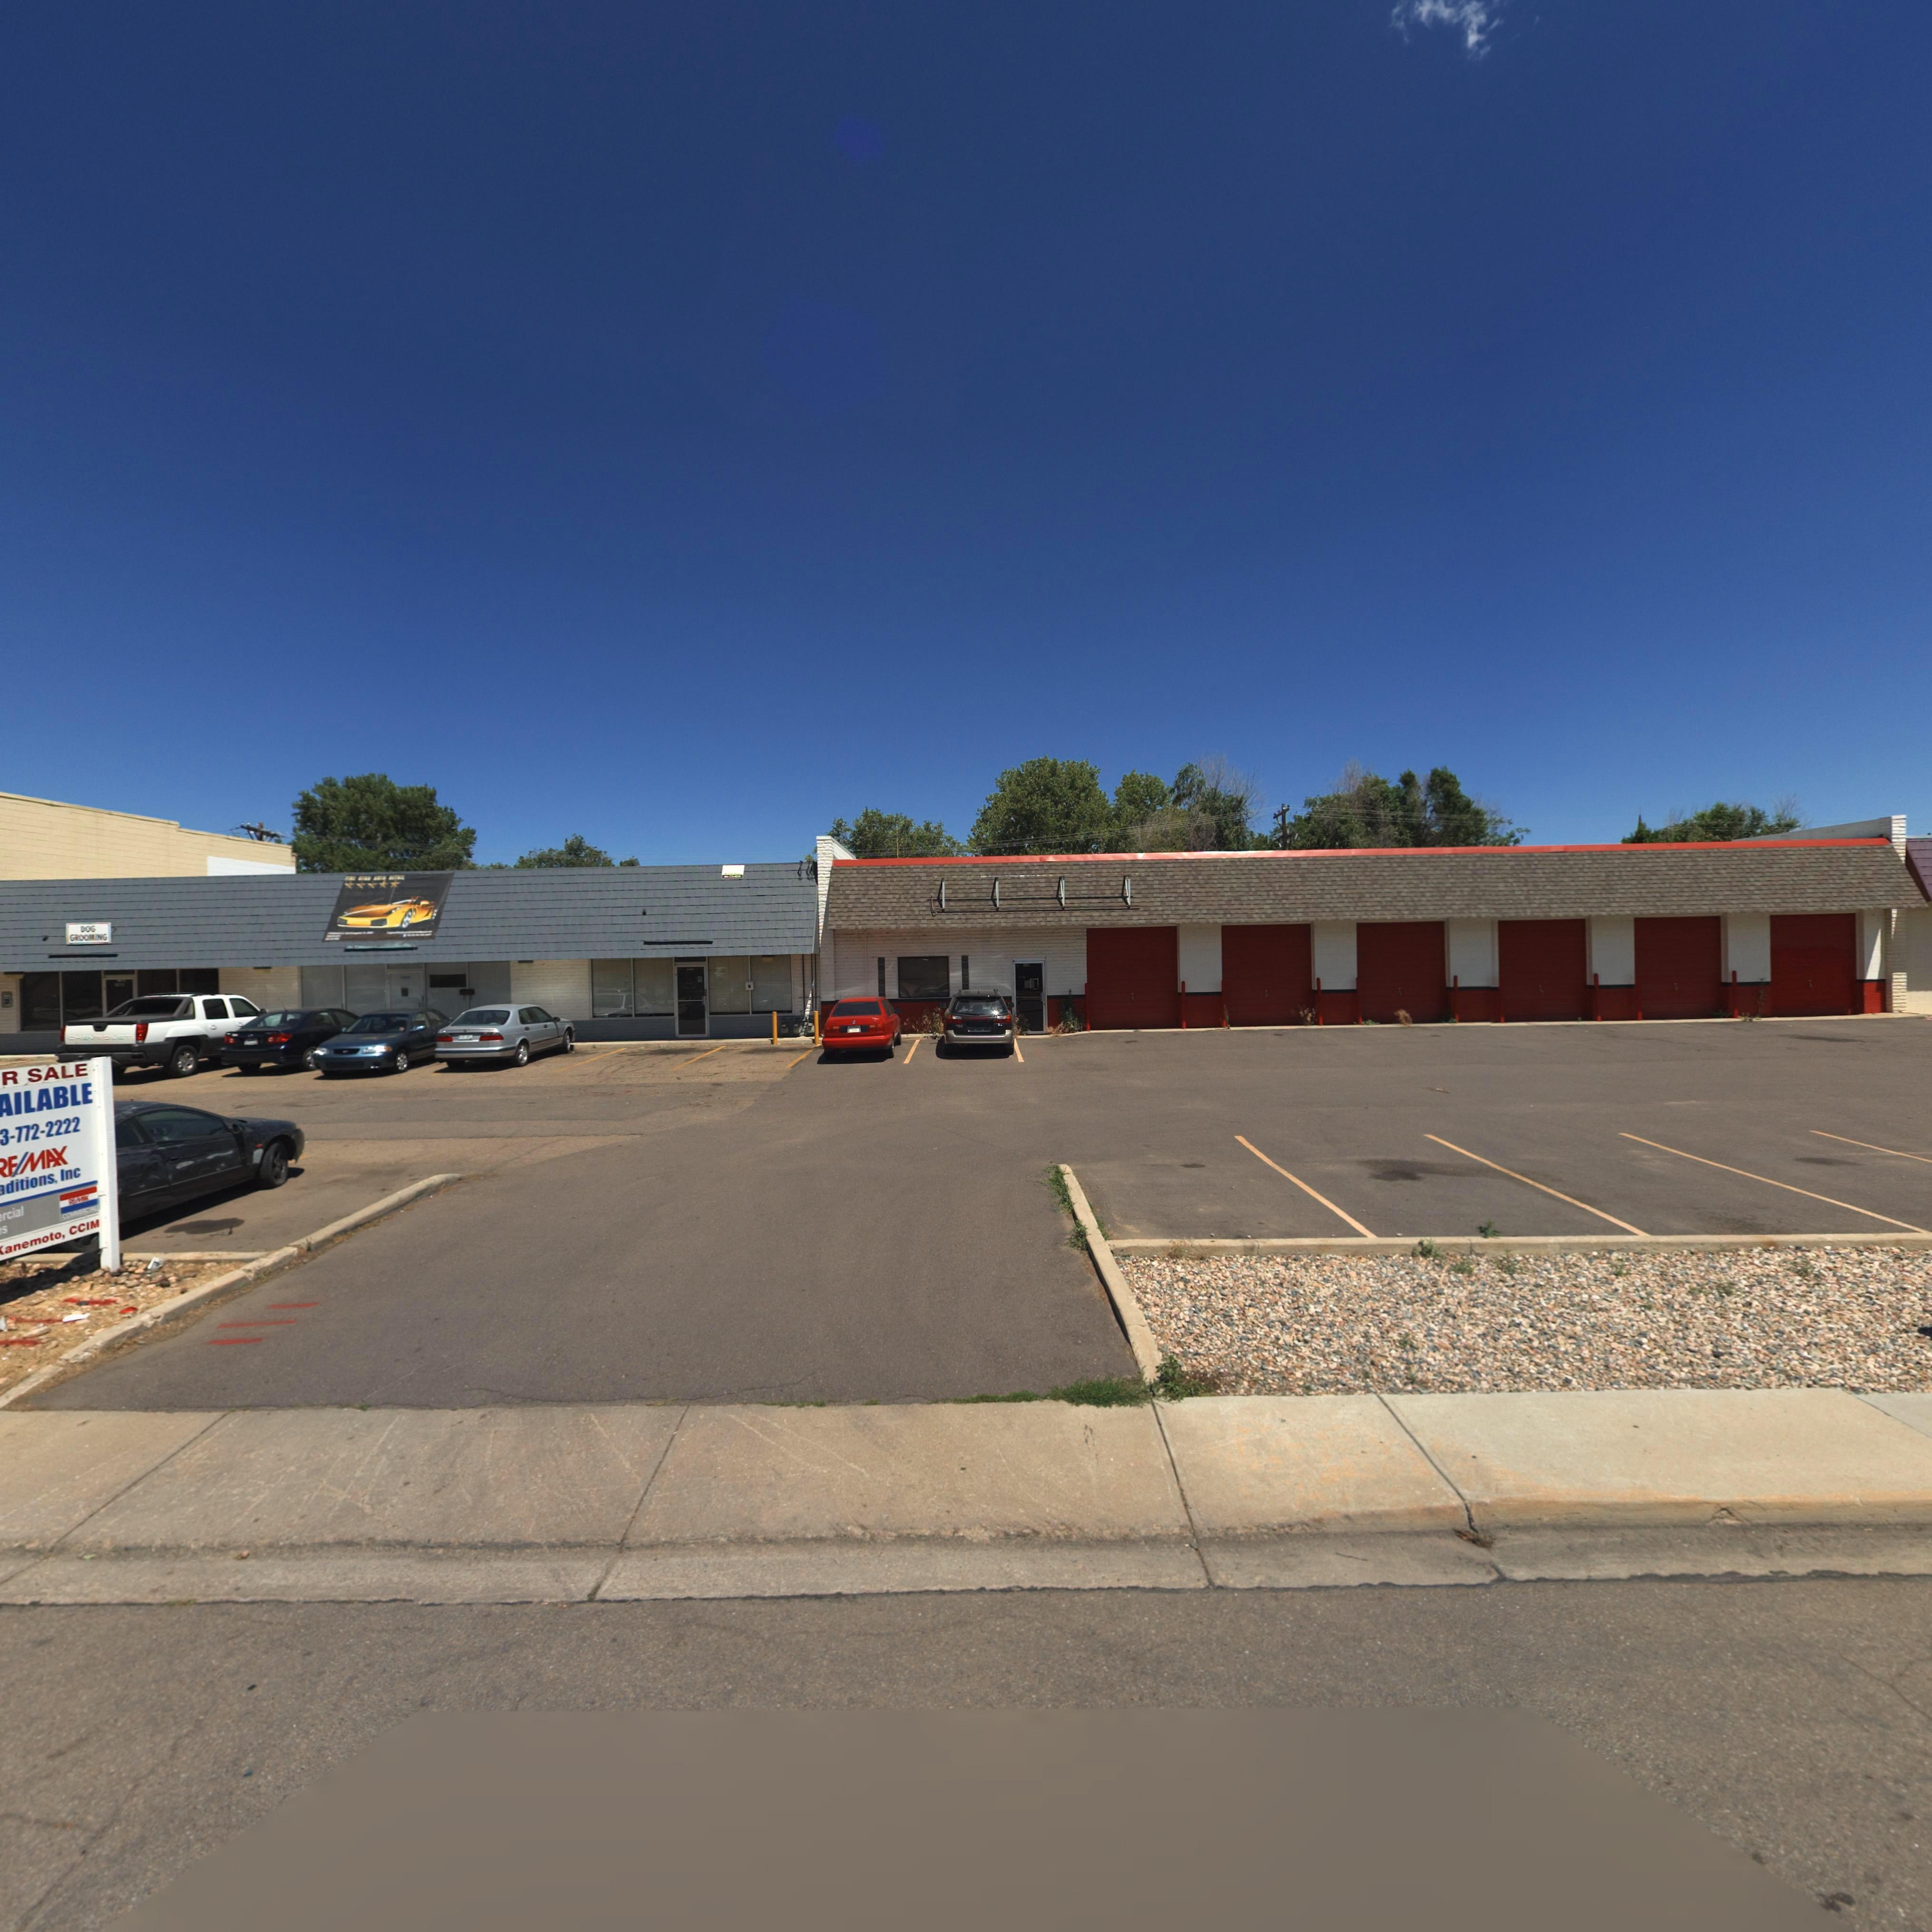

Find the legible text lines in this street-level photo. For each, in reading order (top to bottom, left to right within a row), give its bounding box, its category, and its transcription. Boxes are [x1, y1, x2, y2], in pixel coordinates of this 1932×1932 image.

[69, 933, 107, 941] BusinessName: G*OO**NG